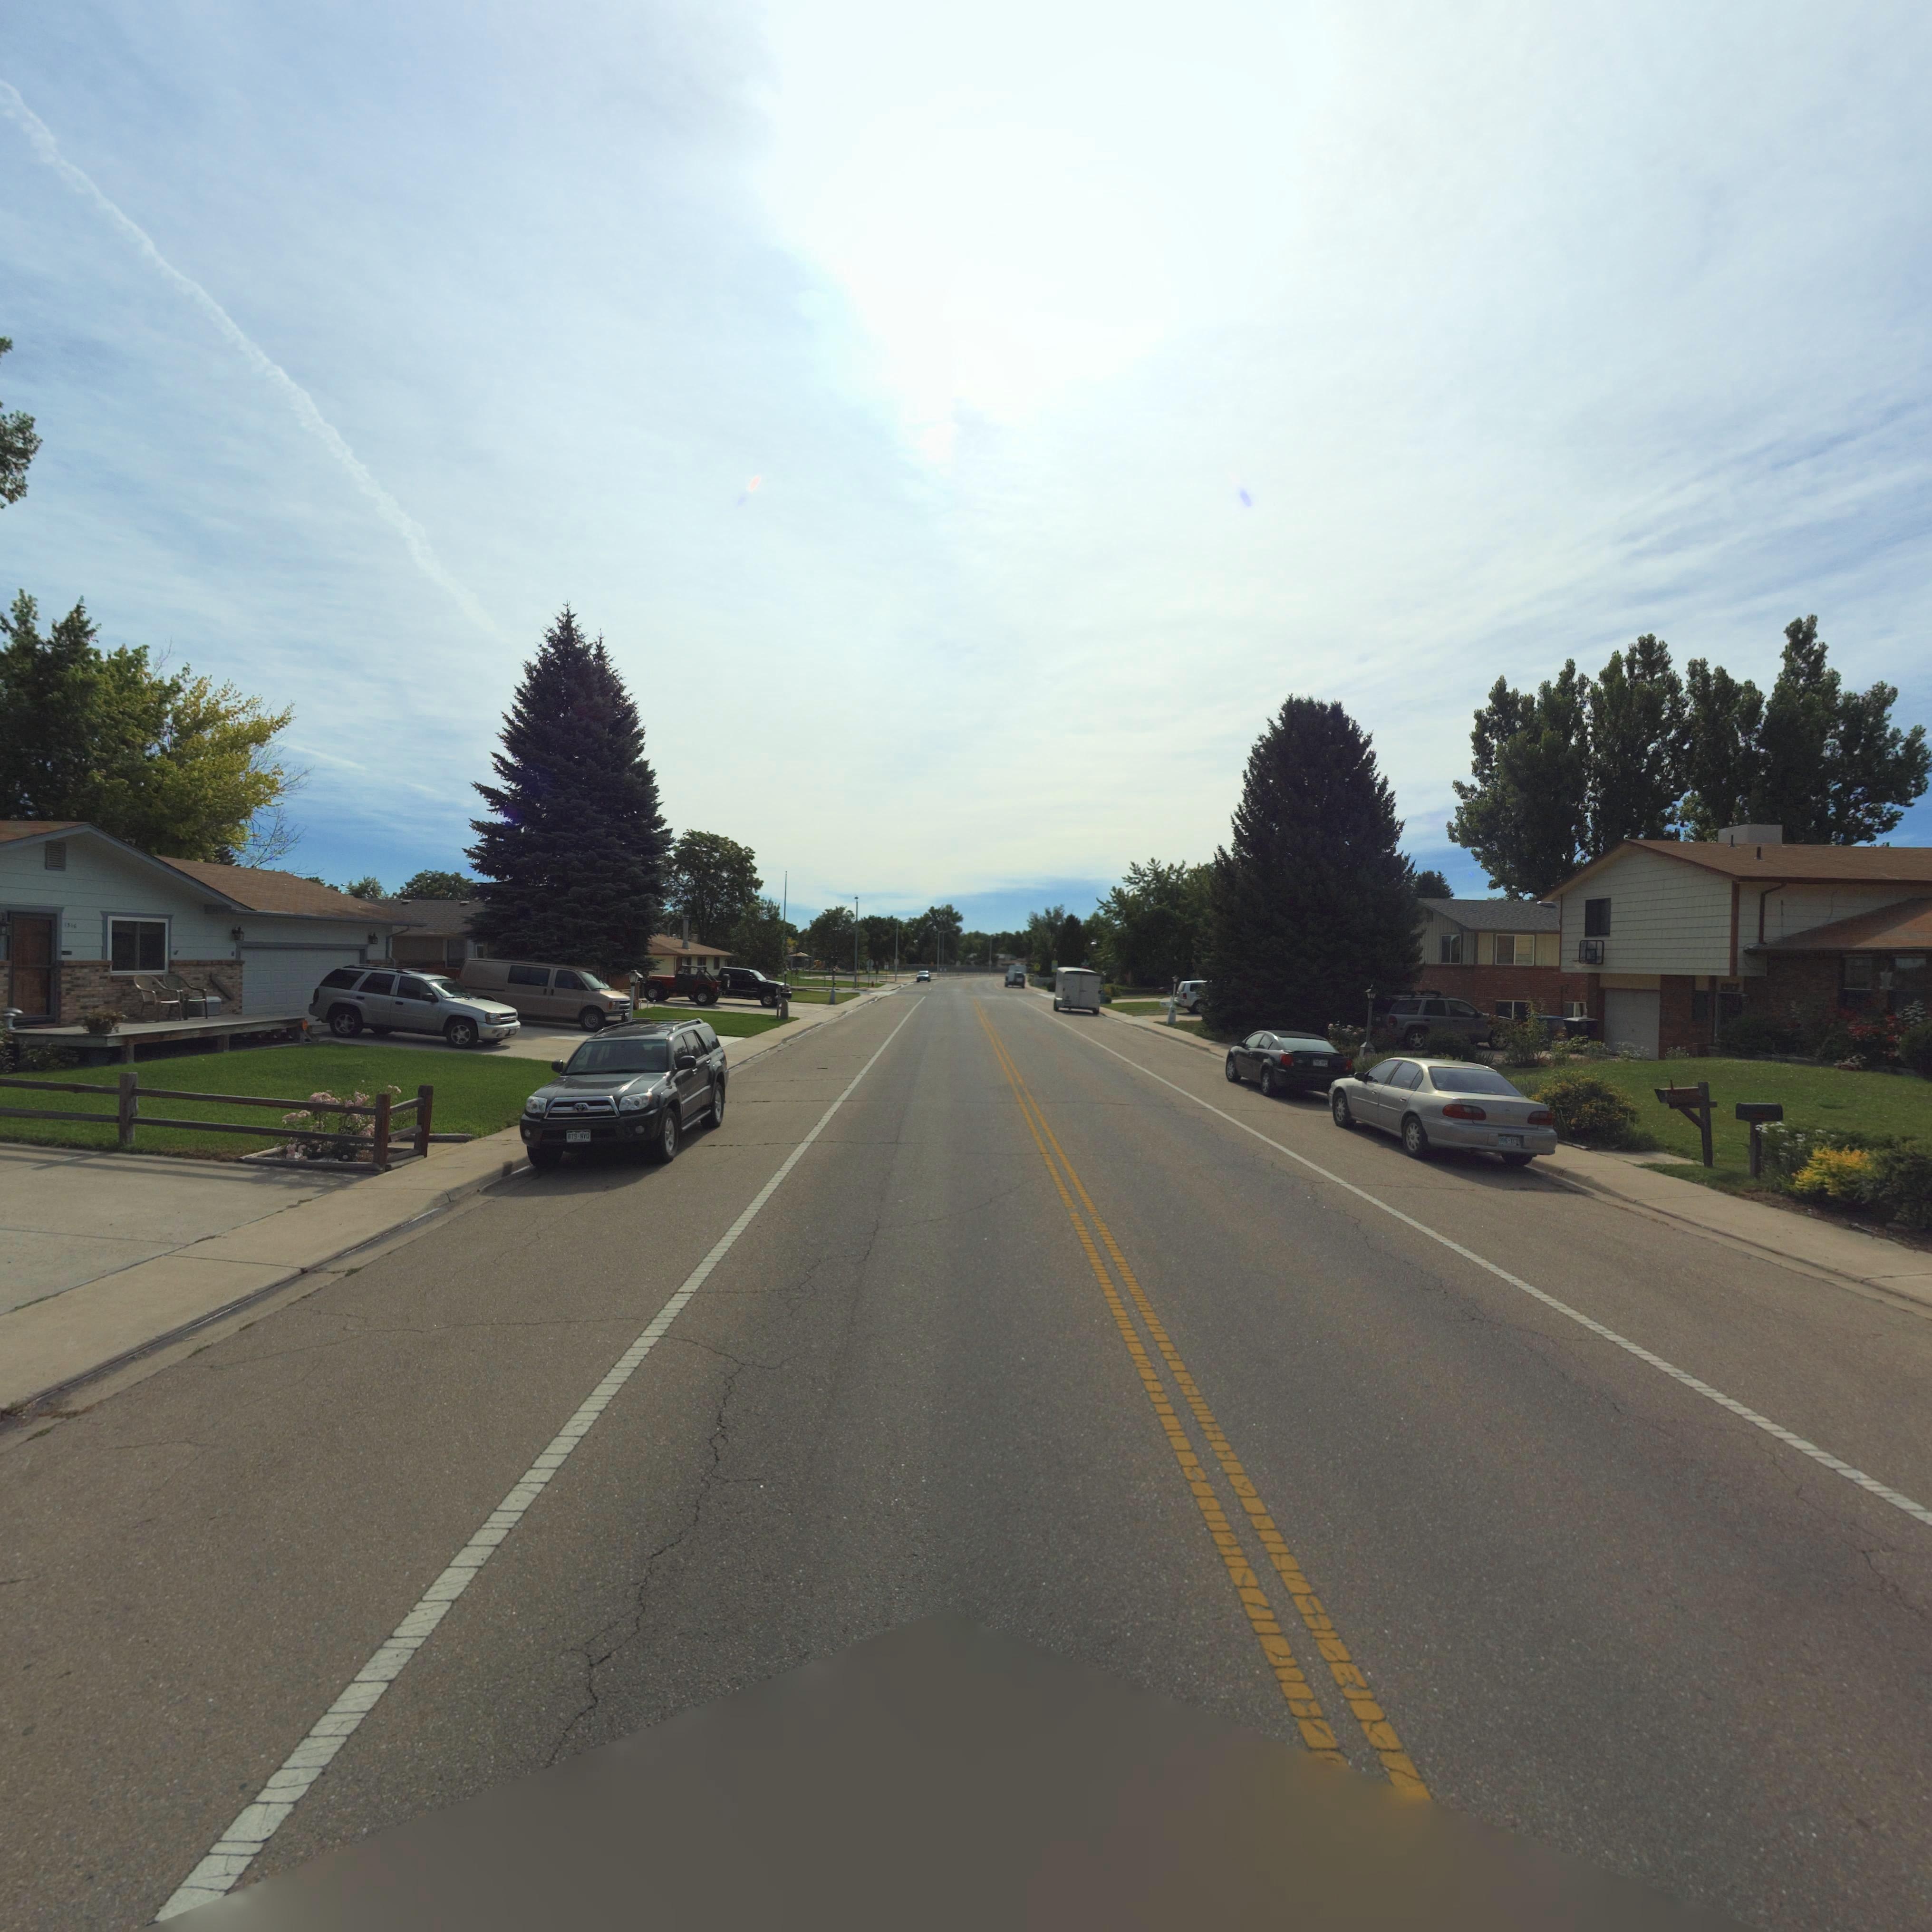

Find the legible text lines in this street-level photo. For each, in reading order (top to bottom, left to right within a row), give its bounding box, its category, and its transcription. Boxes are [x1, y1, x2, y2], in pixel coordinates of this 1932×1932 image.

[64, 921, 78, 928] StreetNumber: 1316